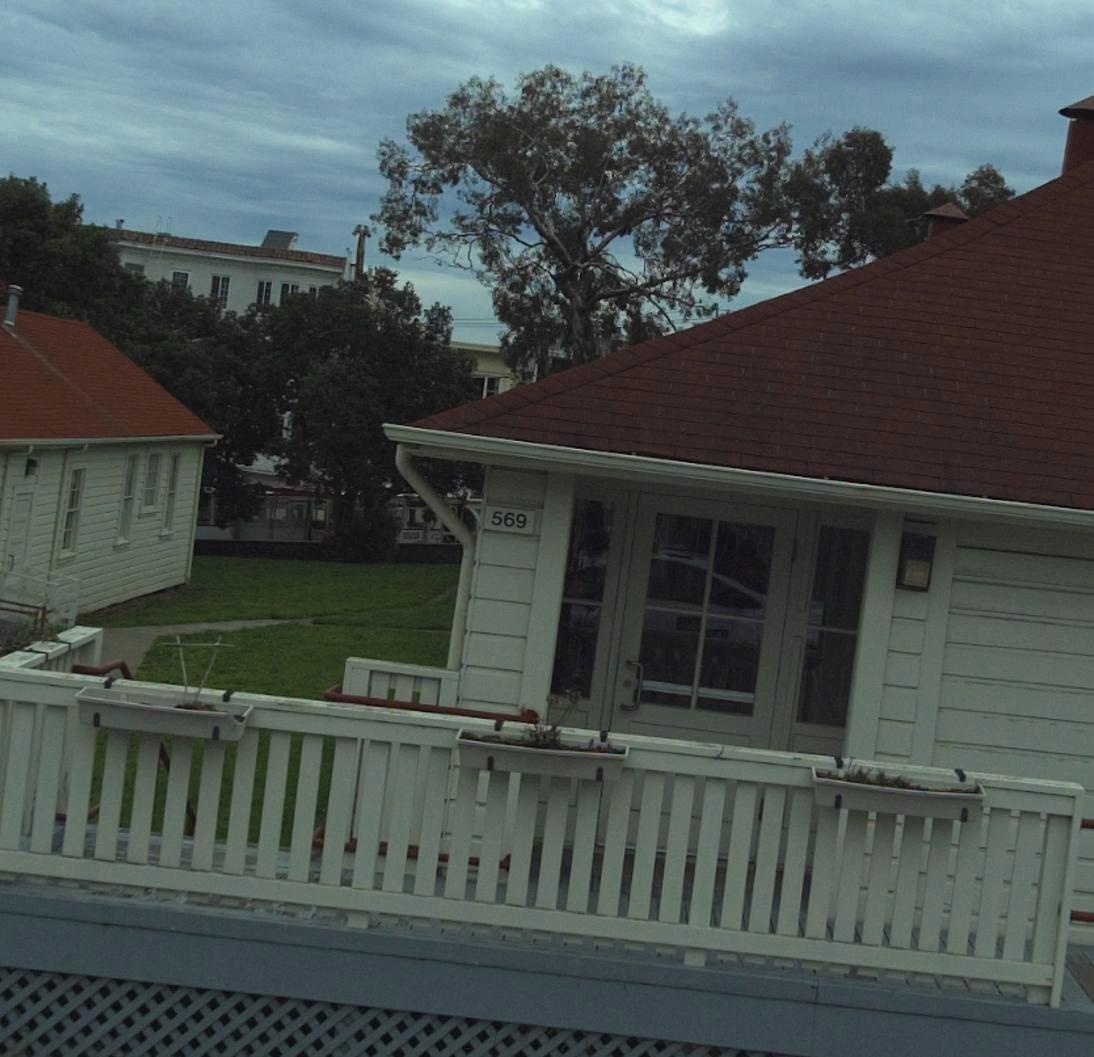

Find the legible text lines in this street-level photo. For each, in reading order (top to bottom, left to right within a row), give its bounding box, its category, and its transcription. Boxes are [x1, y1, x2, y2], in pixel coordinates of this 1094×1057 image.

[489, 509, 528, 531] StreetNumber: 589